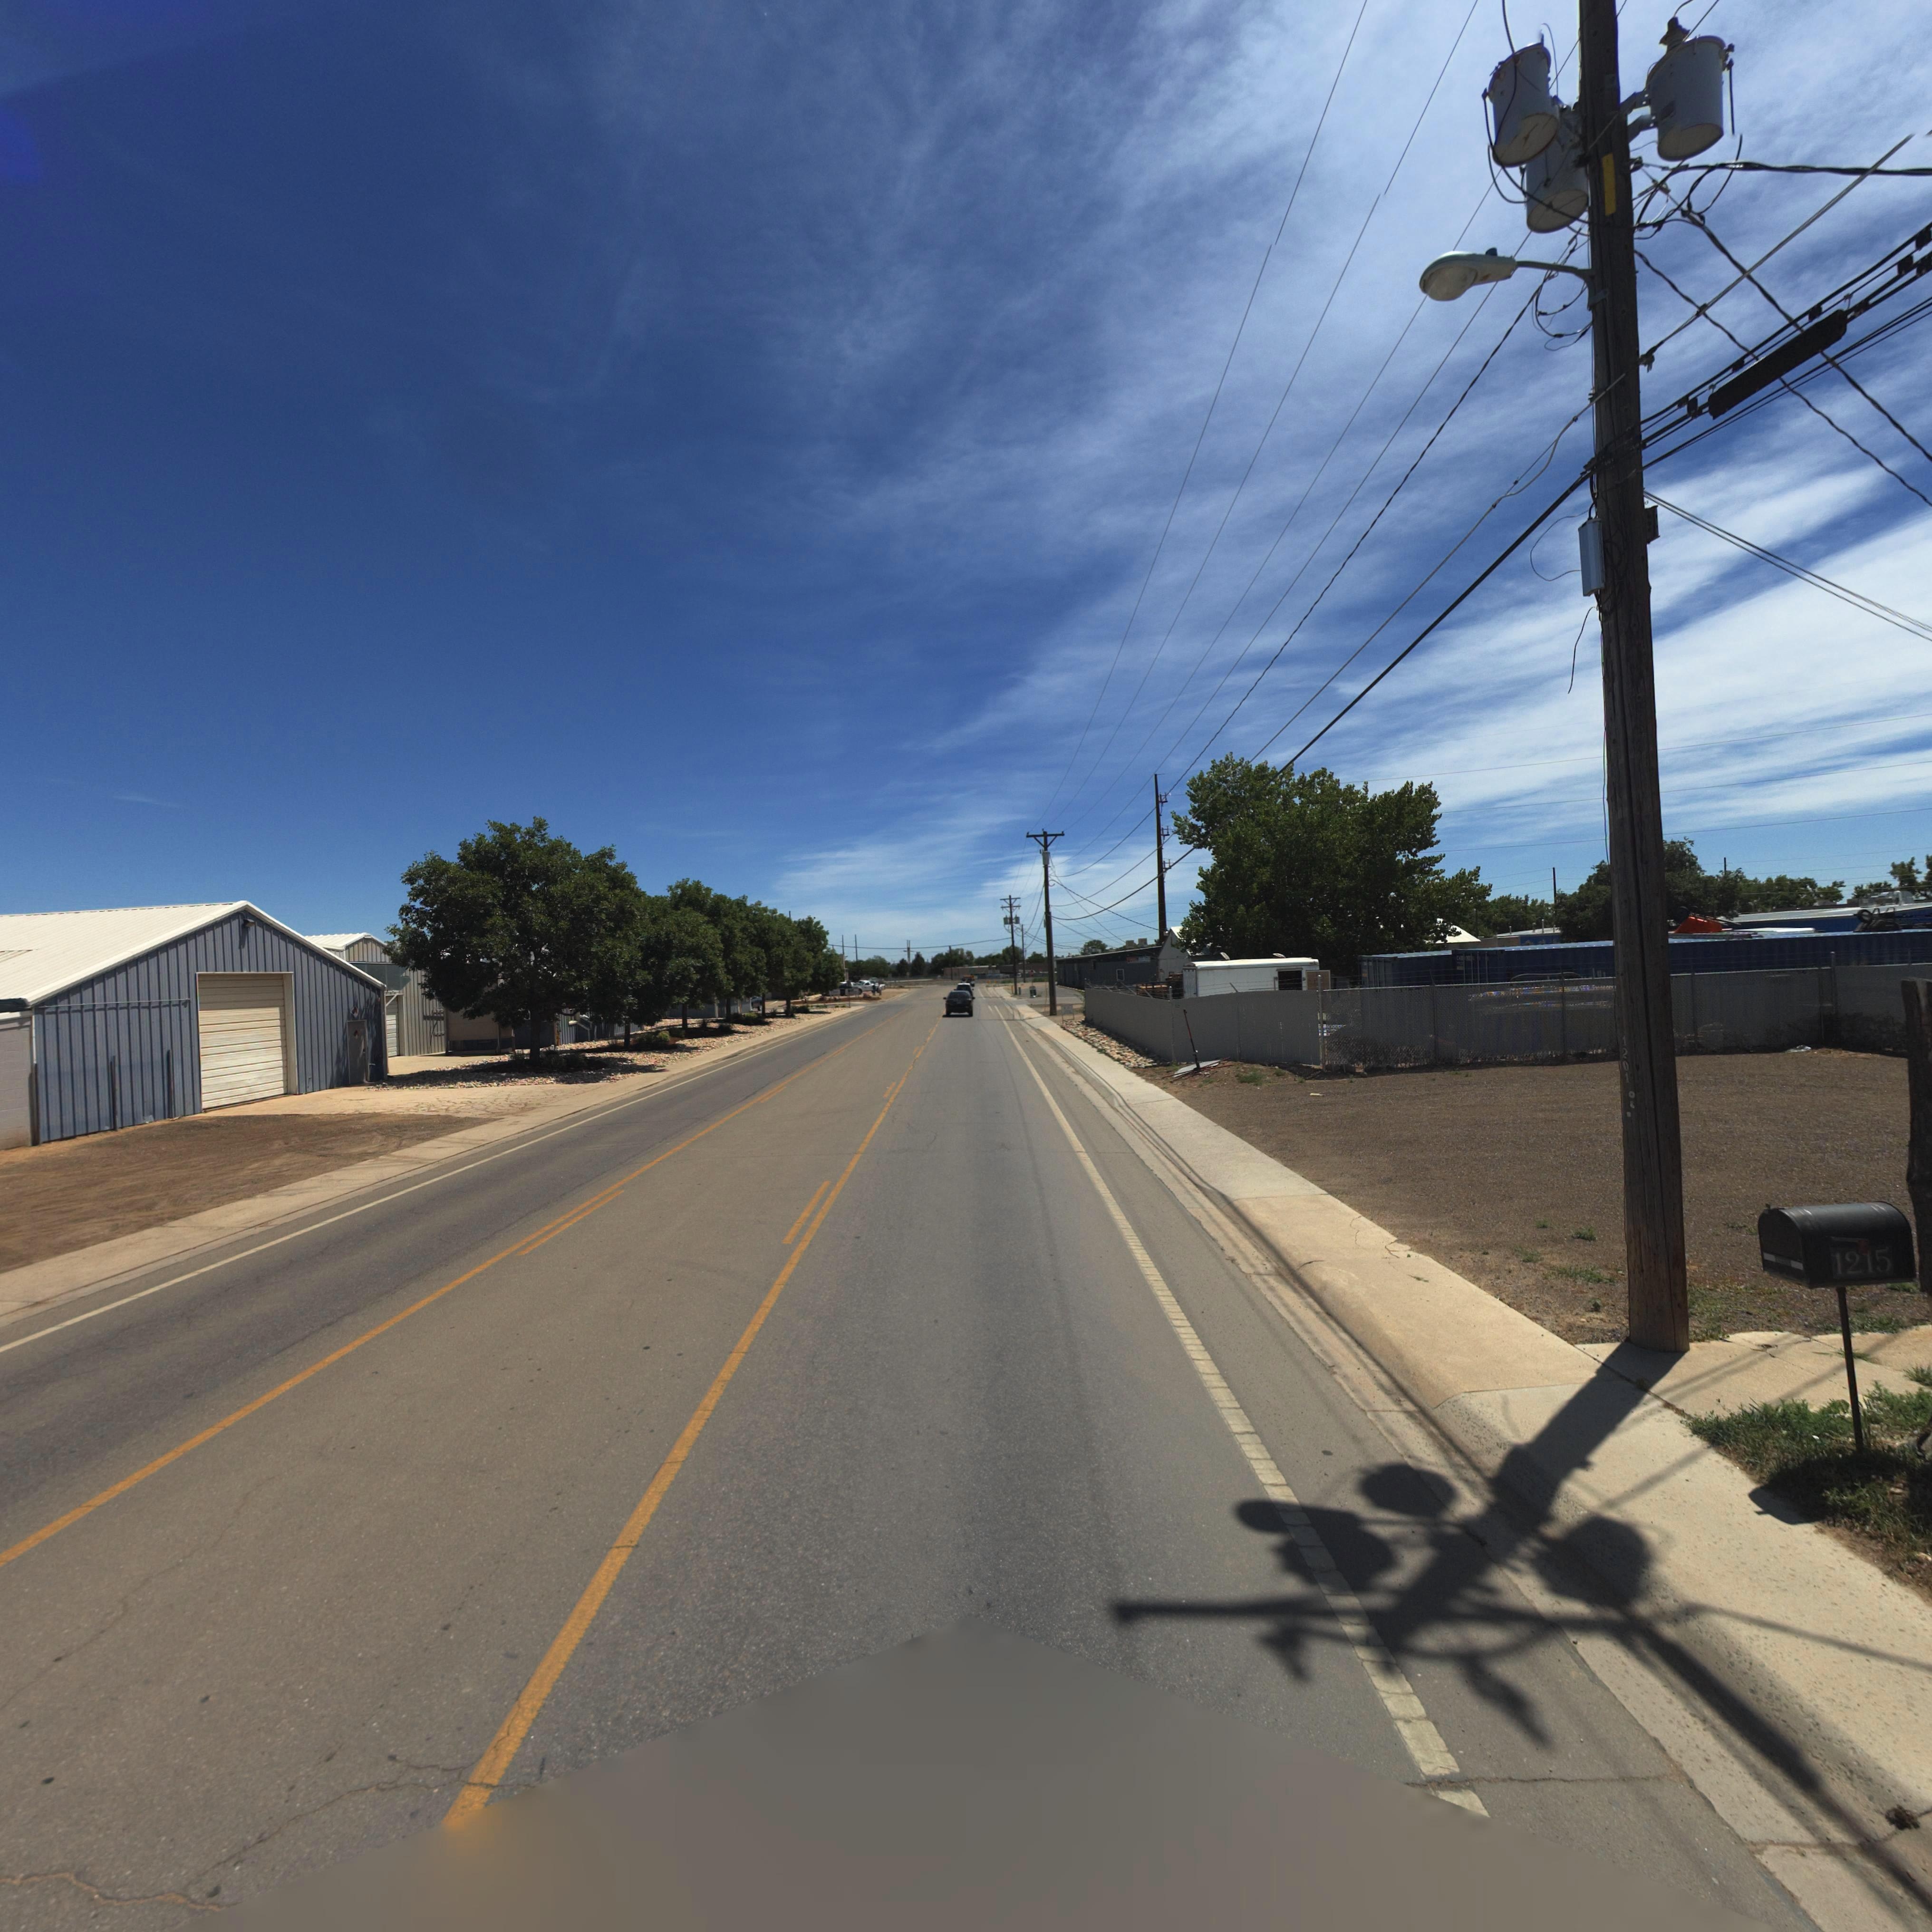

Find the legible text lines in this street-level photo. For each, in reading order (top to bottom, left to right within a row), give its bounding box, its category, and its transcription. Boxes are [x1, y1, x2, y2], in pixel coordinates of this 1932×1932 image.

[1834, 1246, 1892, 1276] StreetNumber: 1215